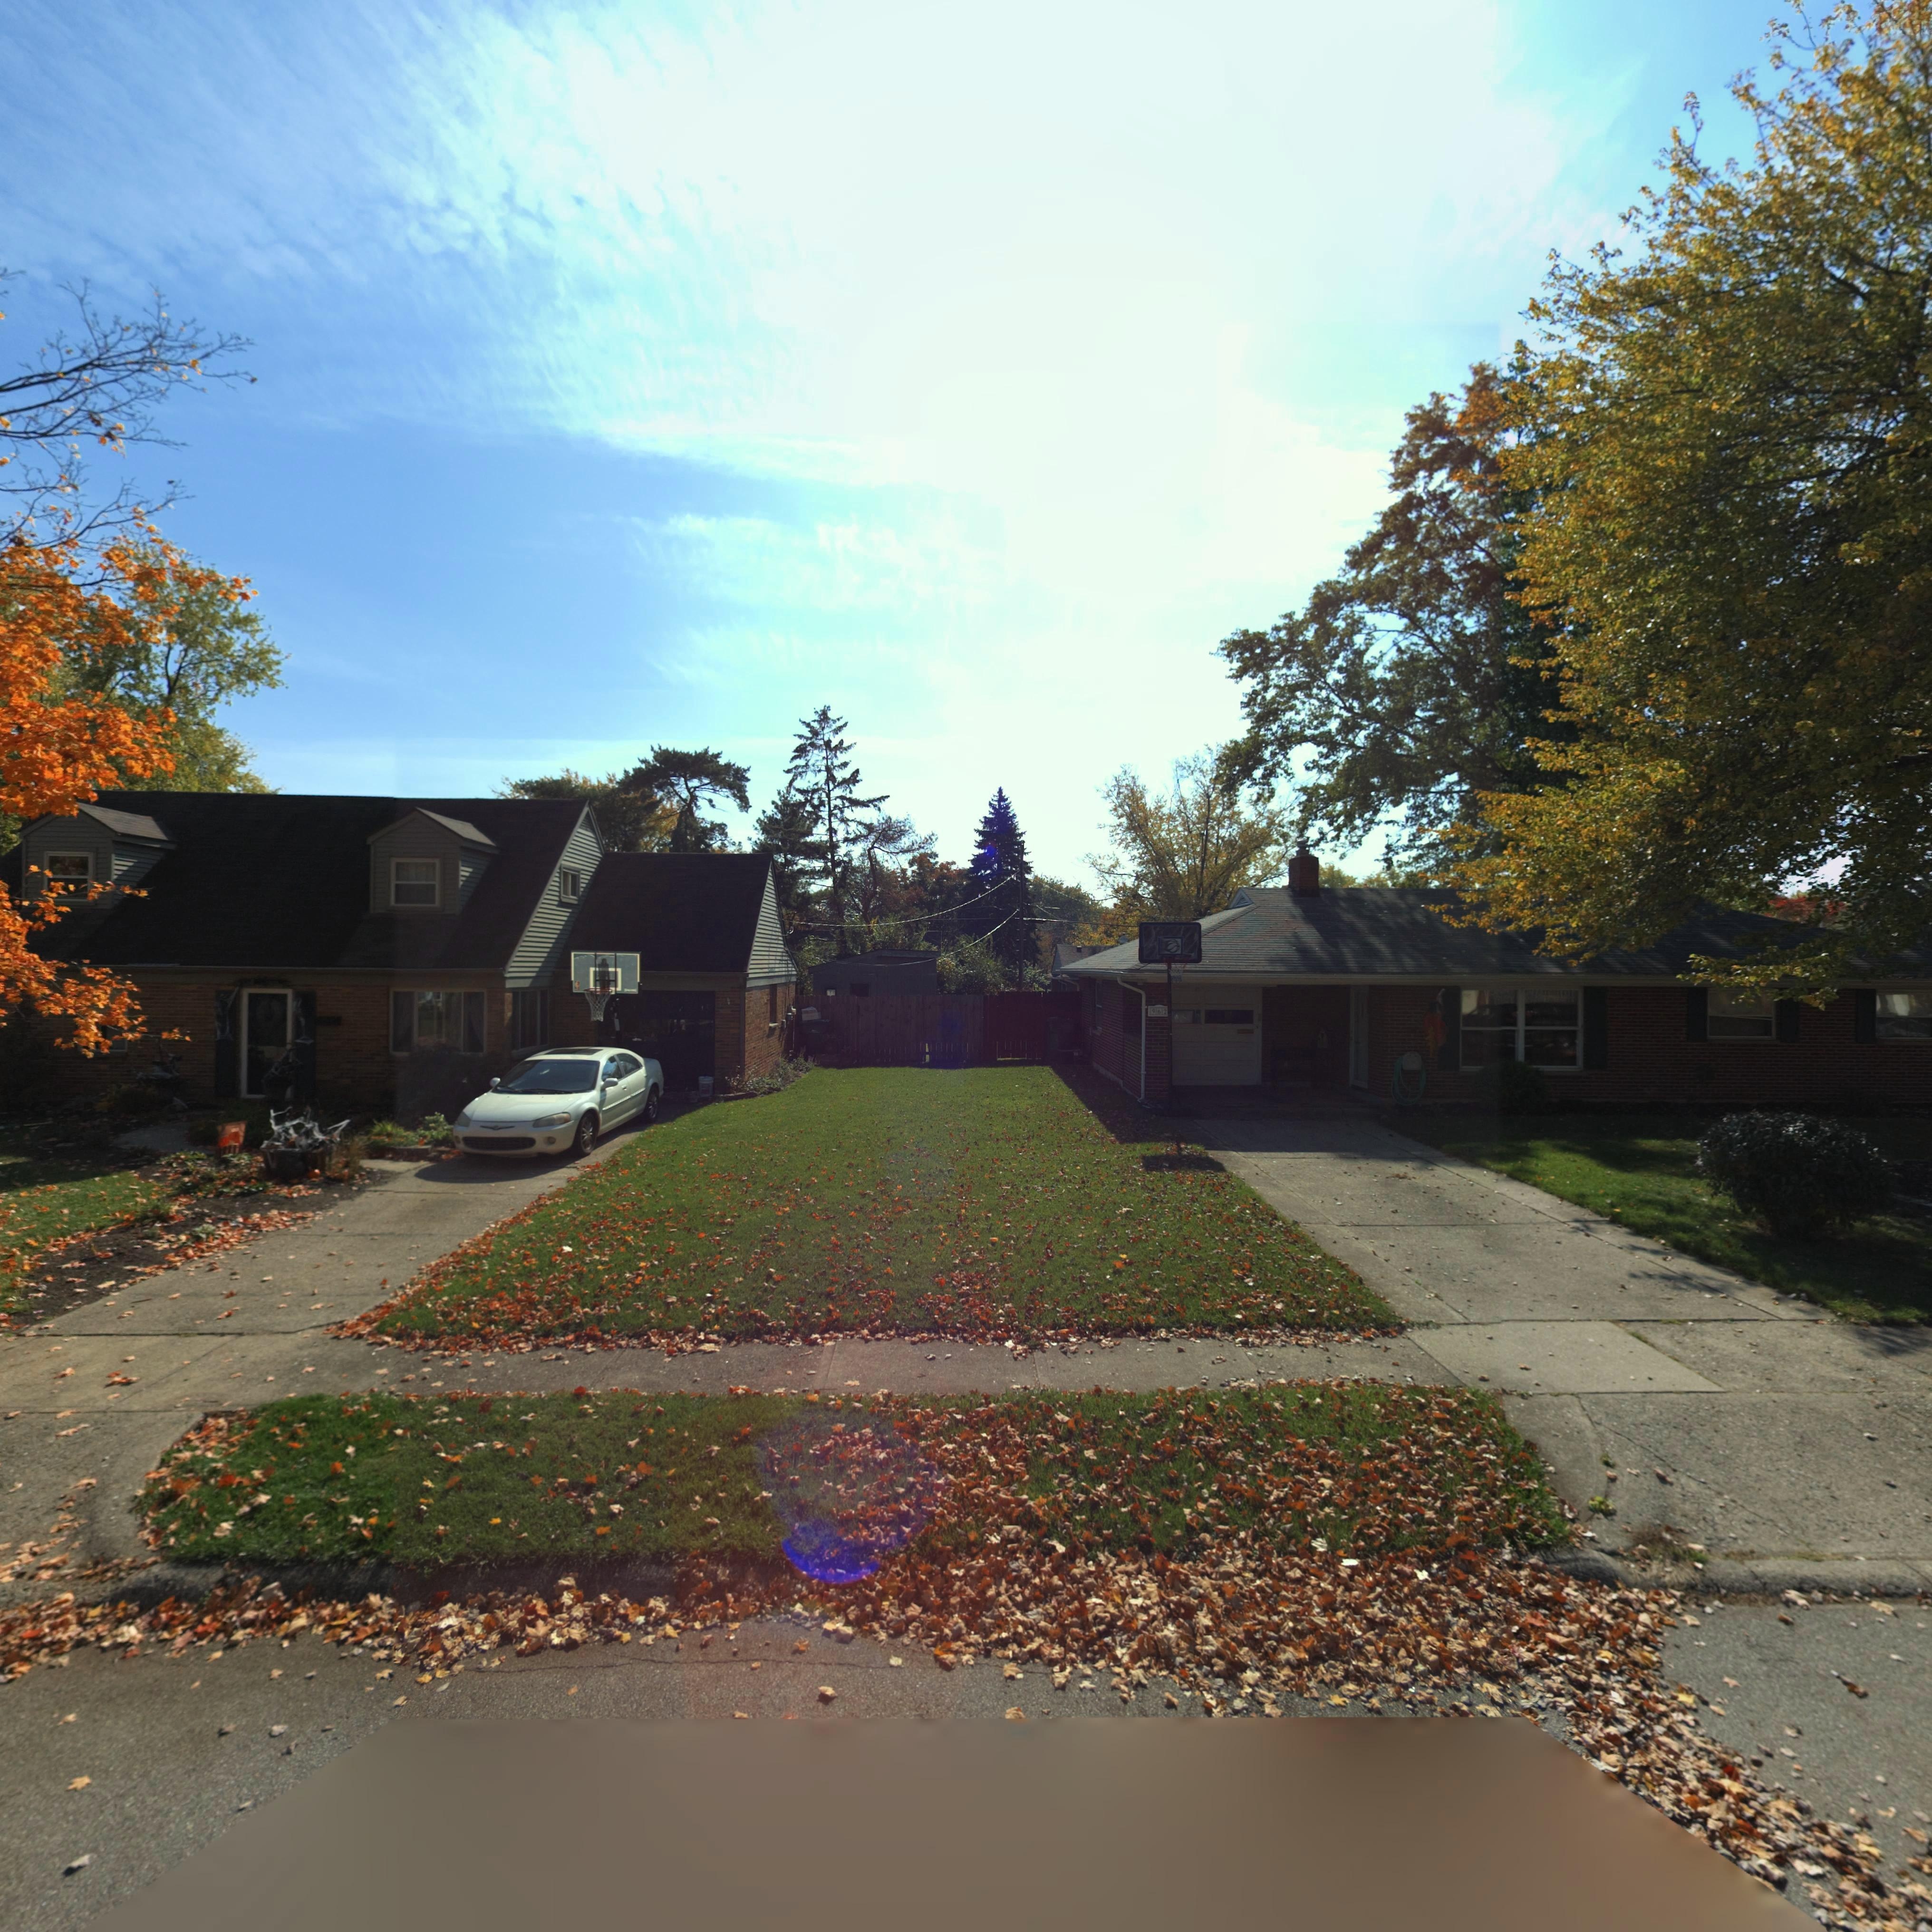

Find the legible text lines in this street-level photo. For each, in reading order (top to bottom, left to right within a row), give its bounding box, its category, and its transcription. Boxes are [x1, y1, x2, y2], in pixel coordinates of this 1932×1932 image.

[1151, 1008, 1168, 1015] StreetNumber: 962